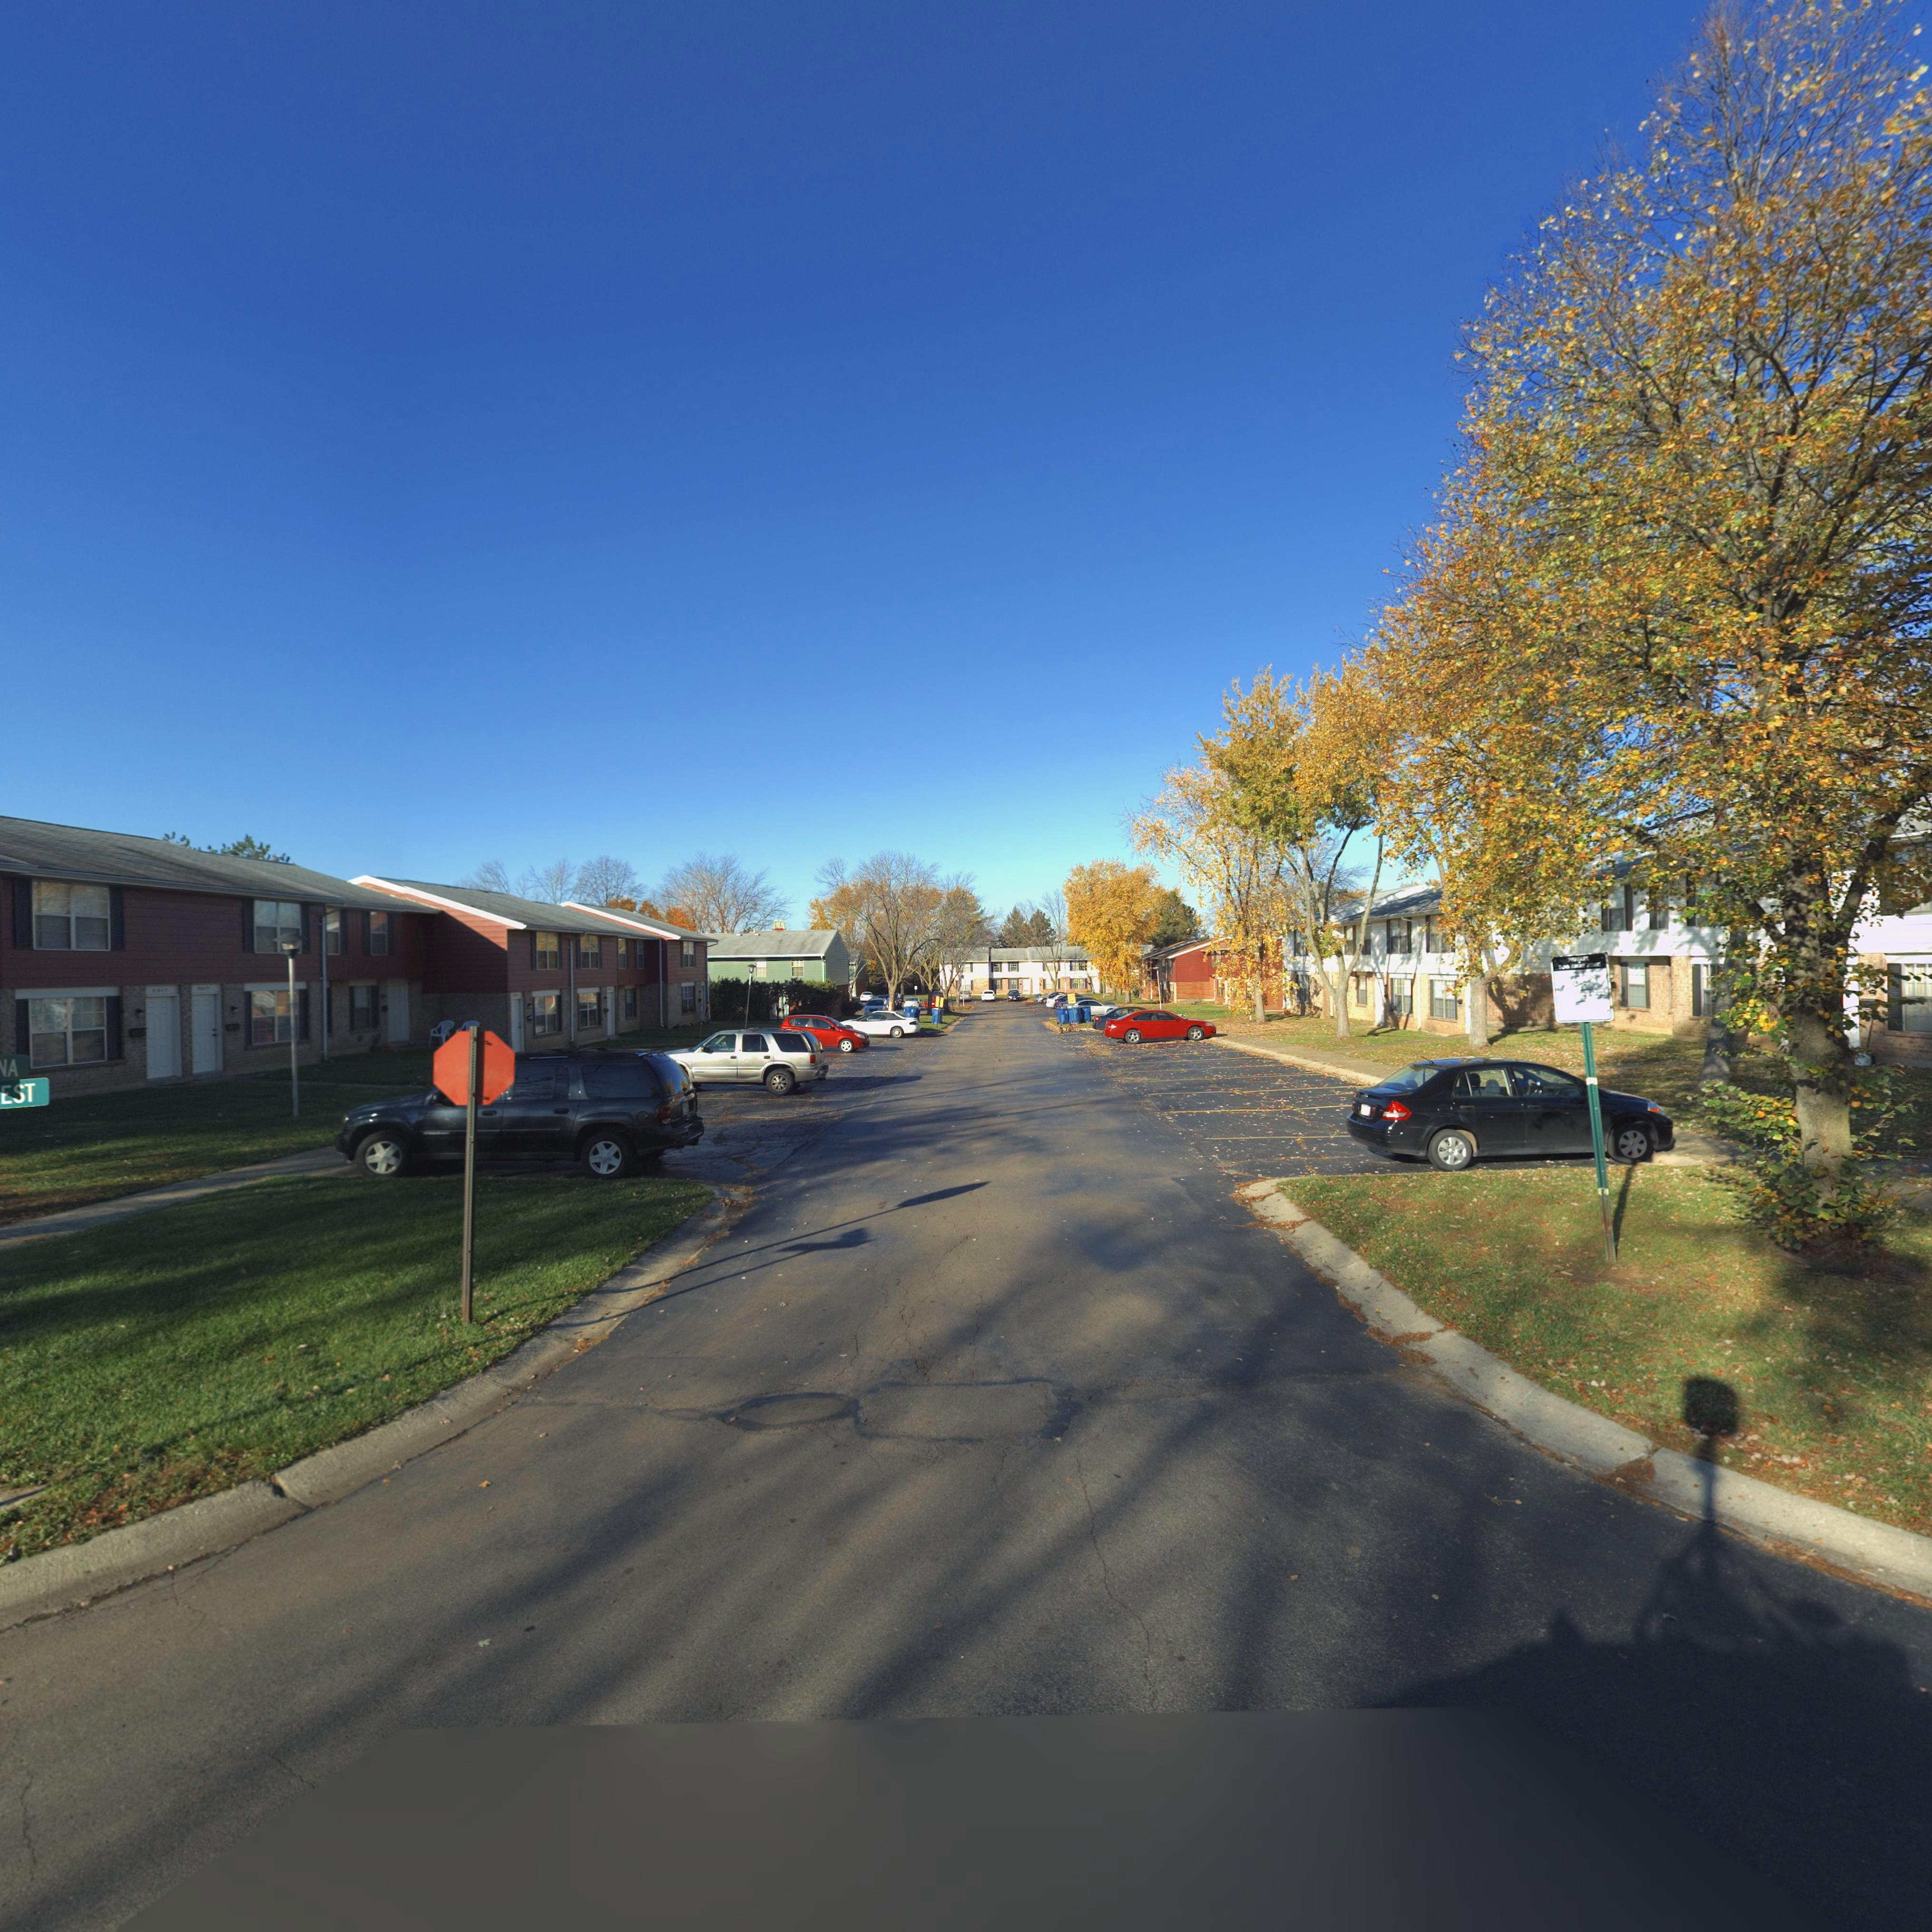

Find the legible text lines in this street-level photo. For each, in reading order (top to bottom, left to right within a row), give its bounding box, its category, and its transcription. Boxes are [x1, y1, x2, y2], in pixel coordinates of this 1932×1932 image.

[152, 988, 168, 993] StreetNumber: 8*47
[196, 985, 210, 991] StreetNumber: ***9
[6, 1058, 20, 1077] StreetName: A
[0, 1082, 37, 1105] StreetName: EST